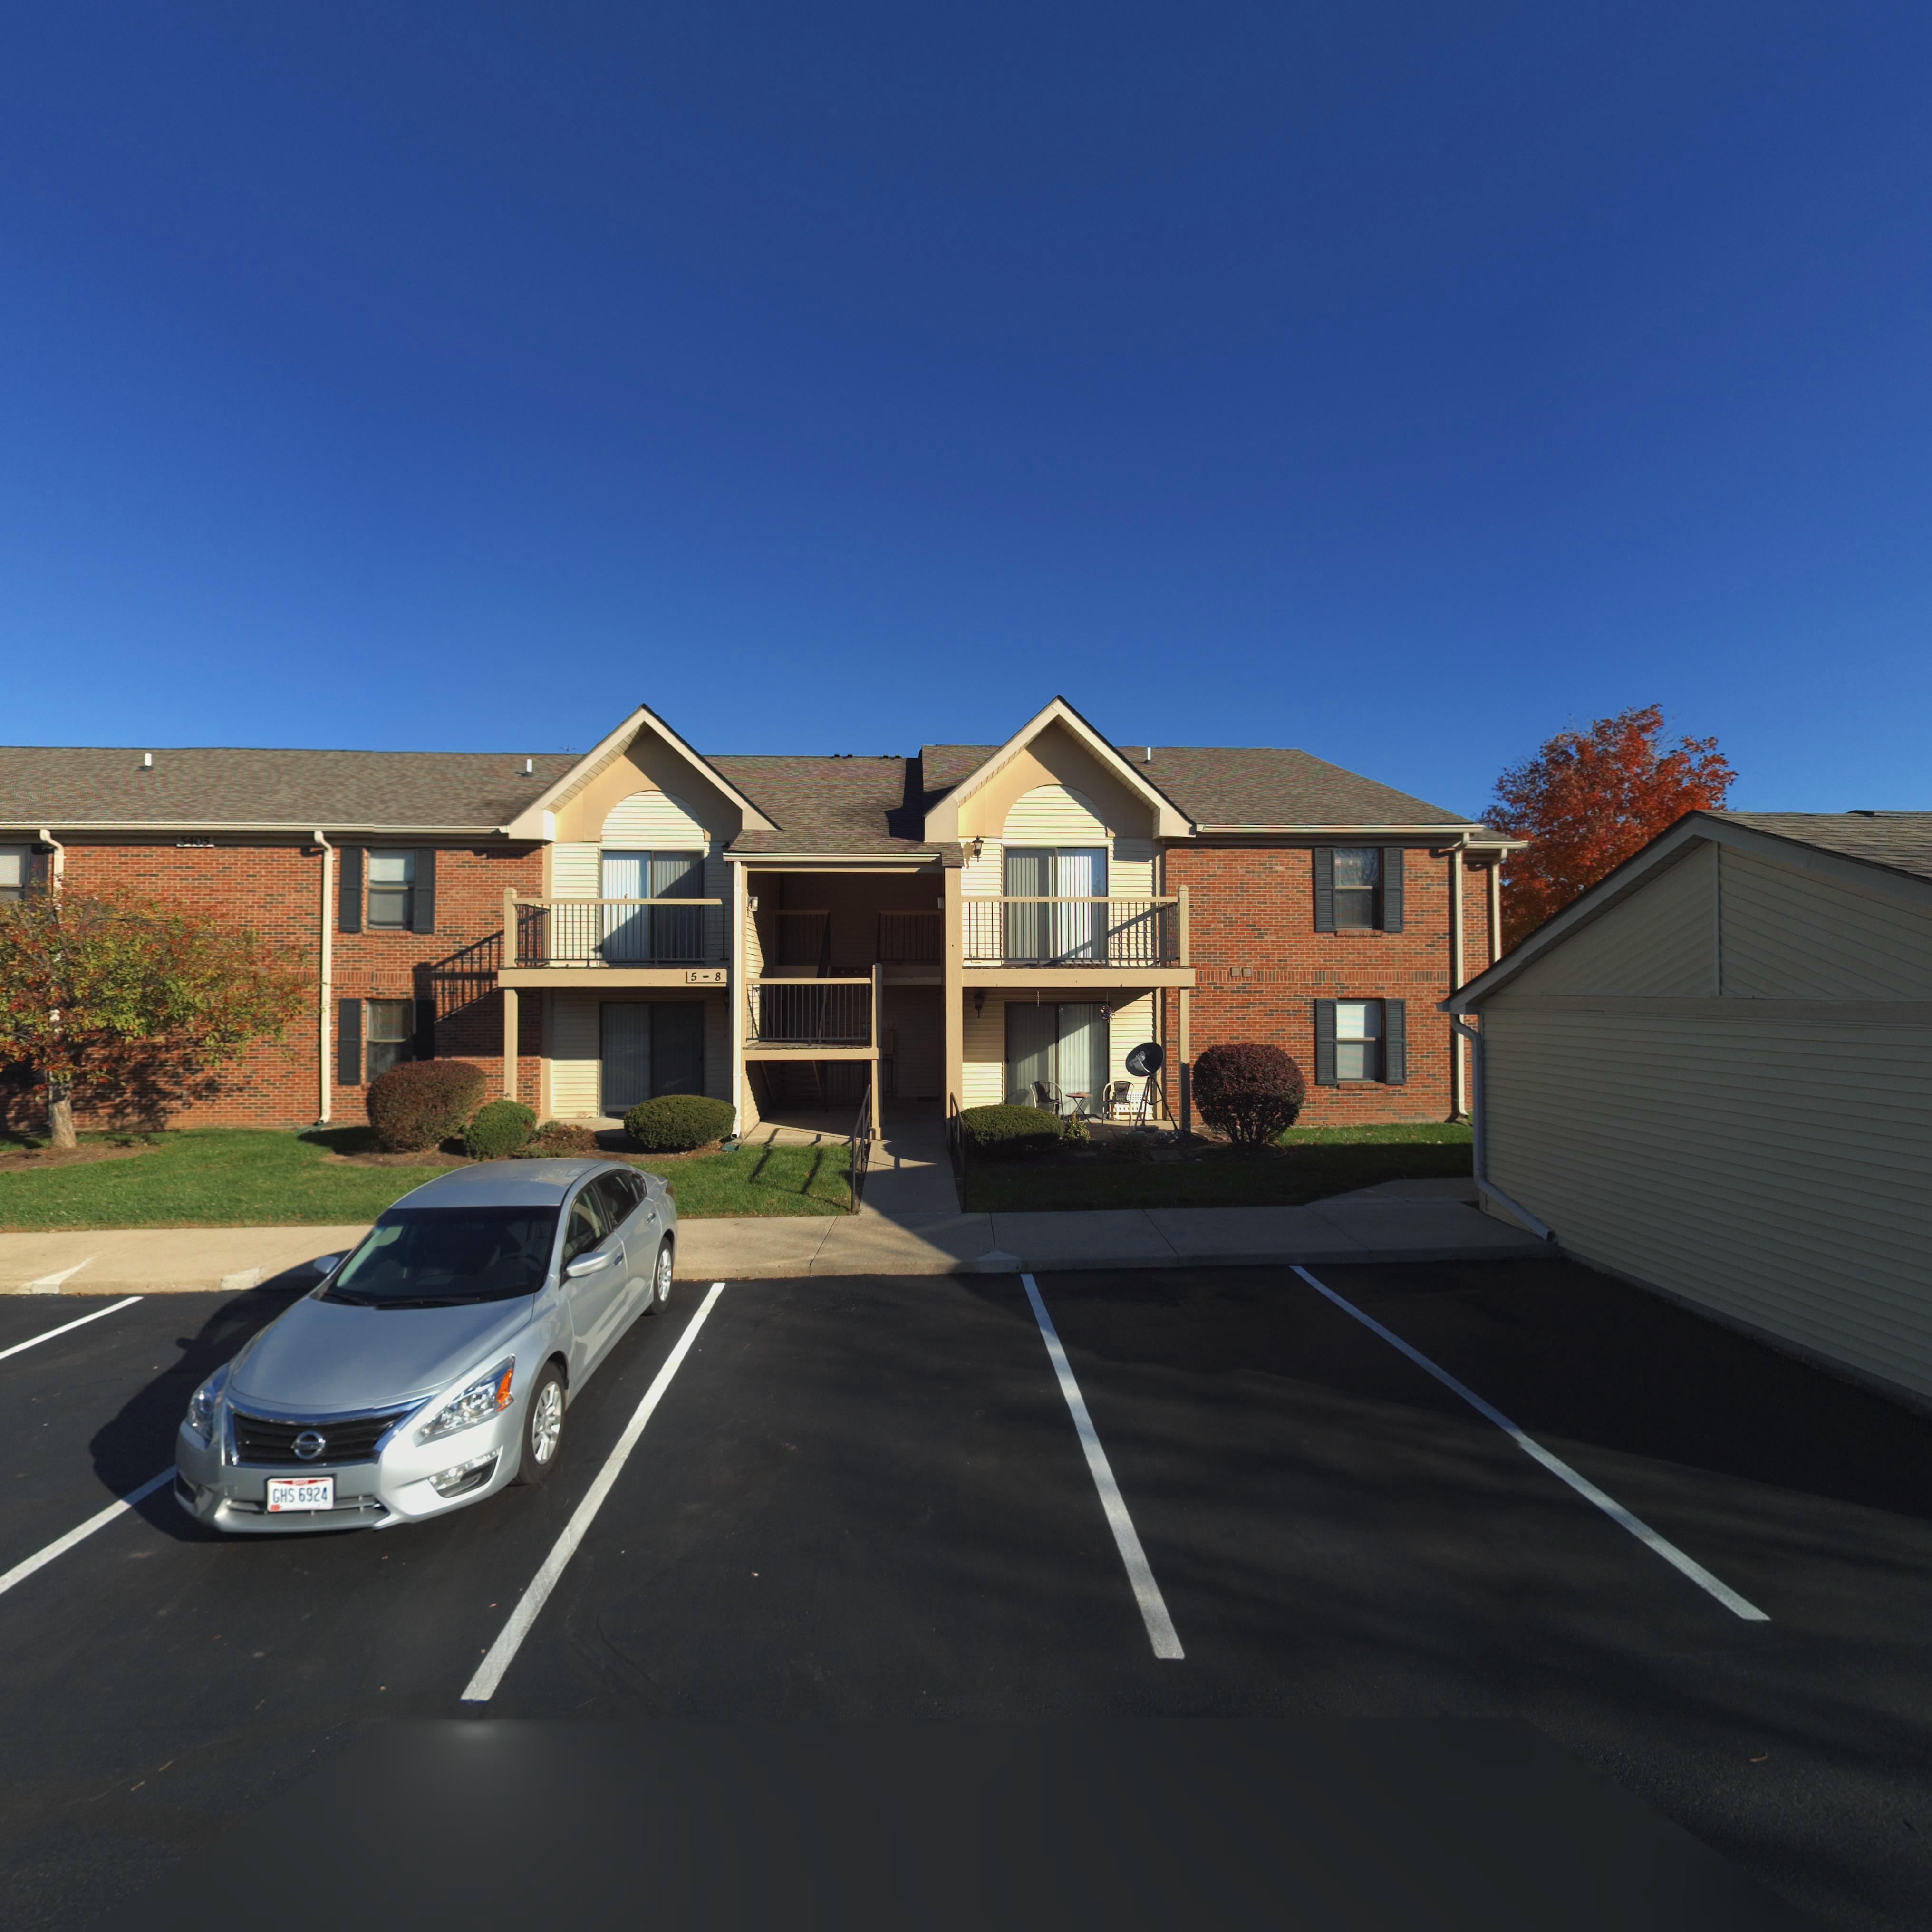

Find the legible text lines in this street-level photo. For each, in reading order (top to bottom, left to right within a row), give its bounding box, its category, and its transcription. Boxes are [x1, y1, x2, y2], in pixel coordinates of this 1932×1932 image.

[691, 971, 721, 981] StreetNumber: 5-8